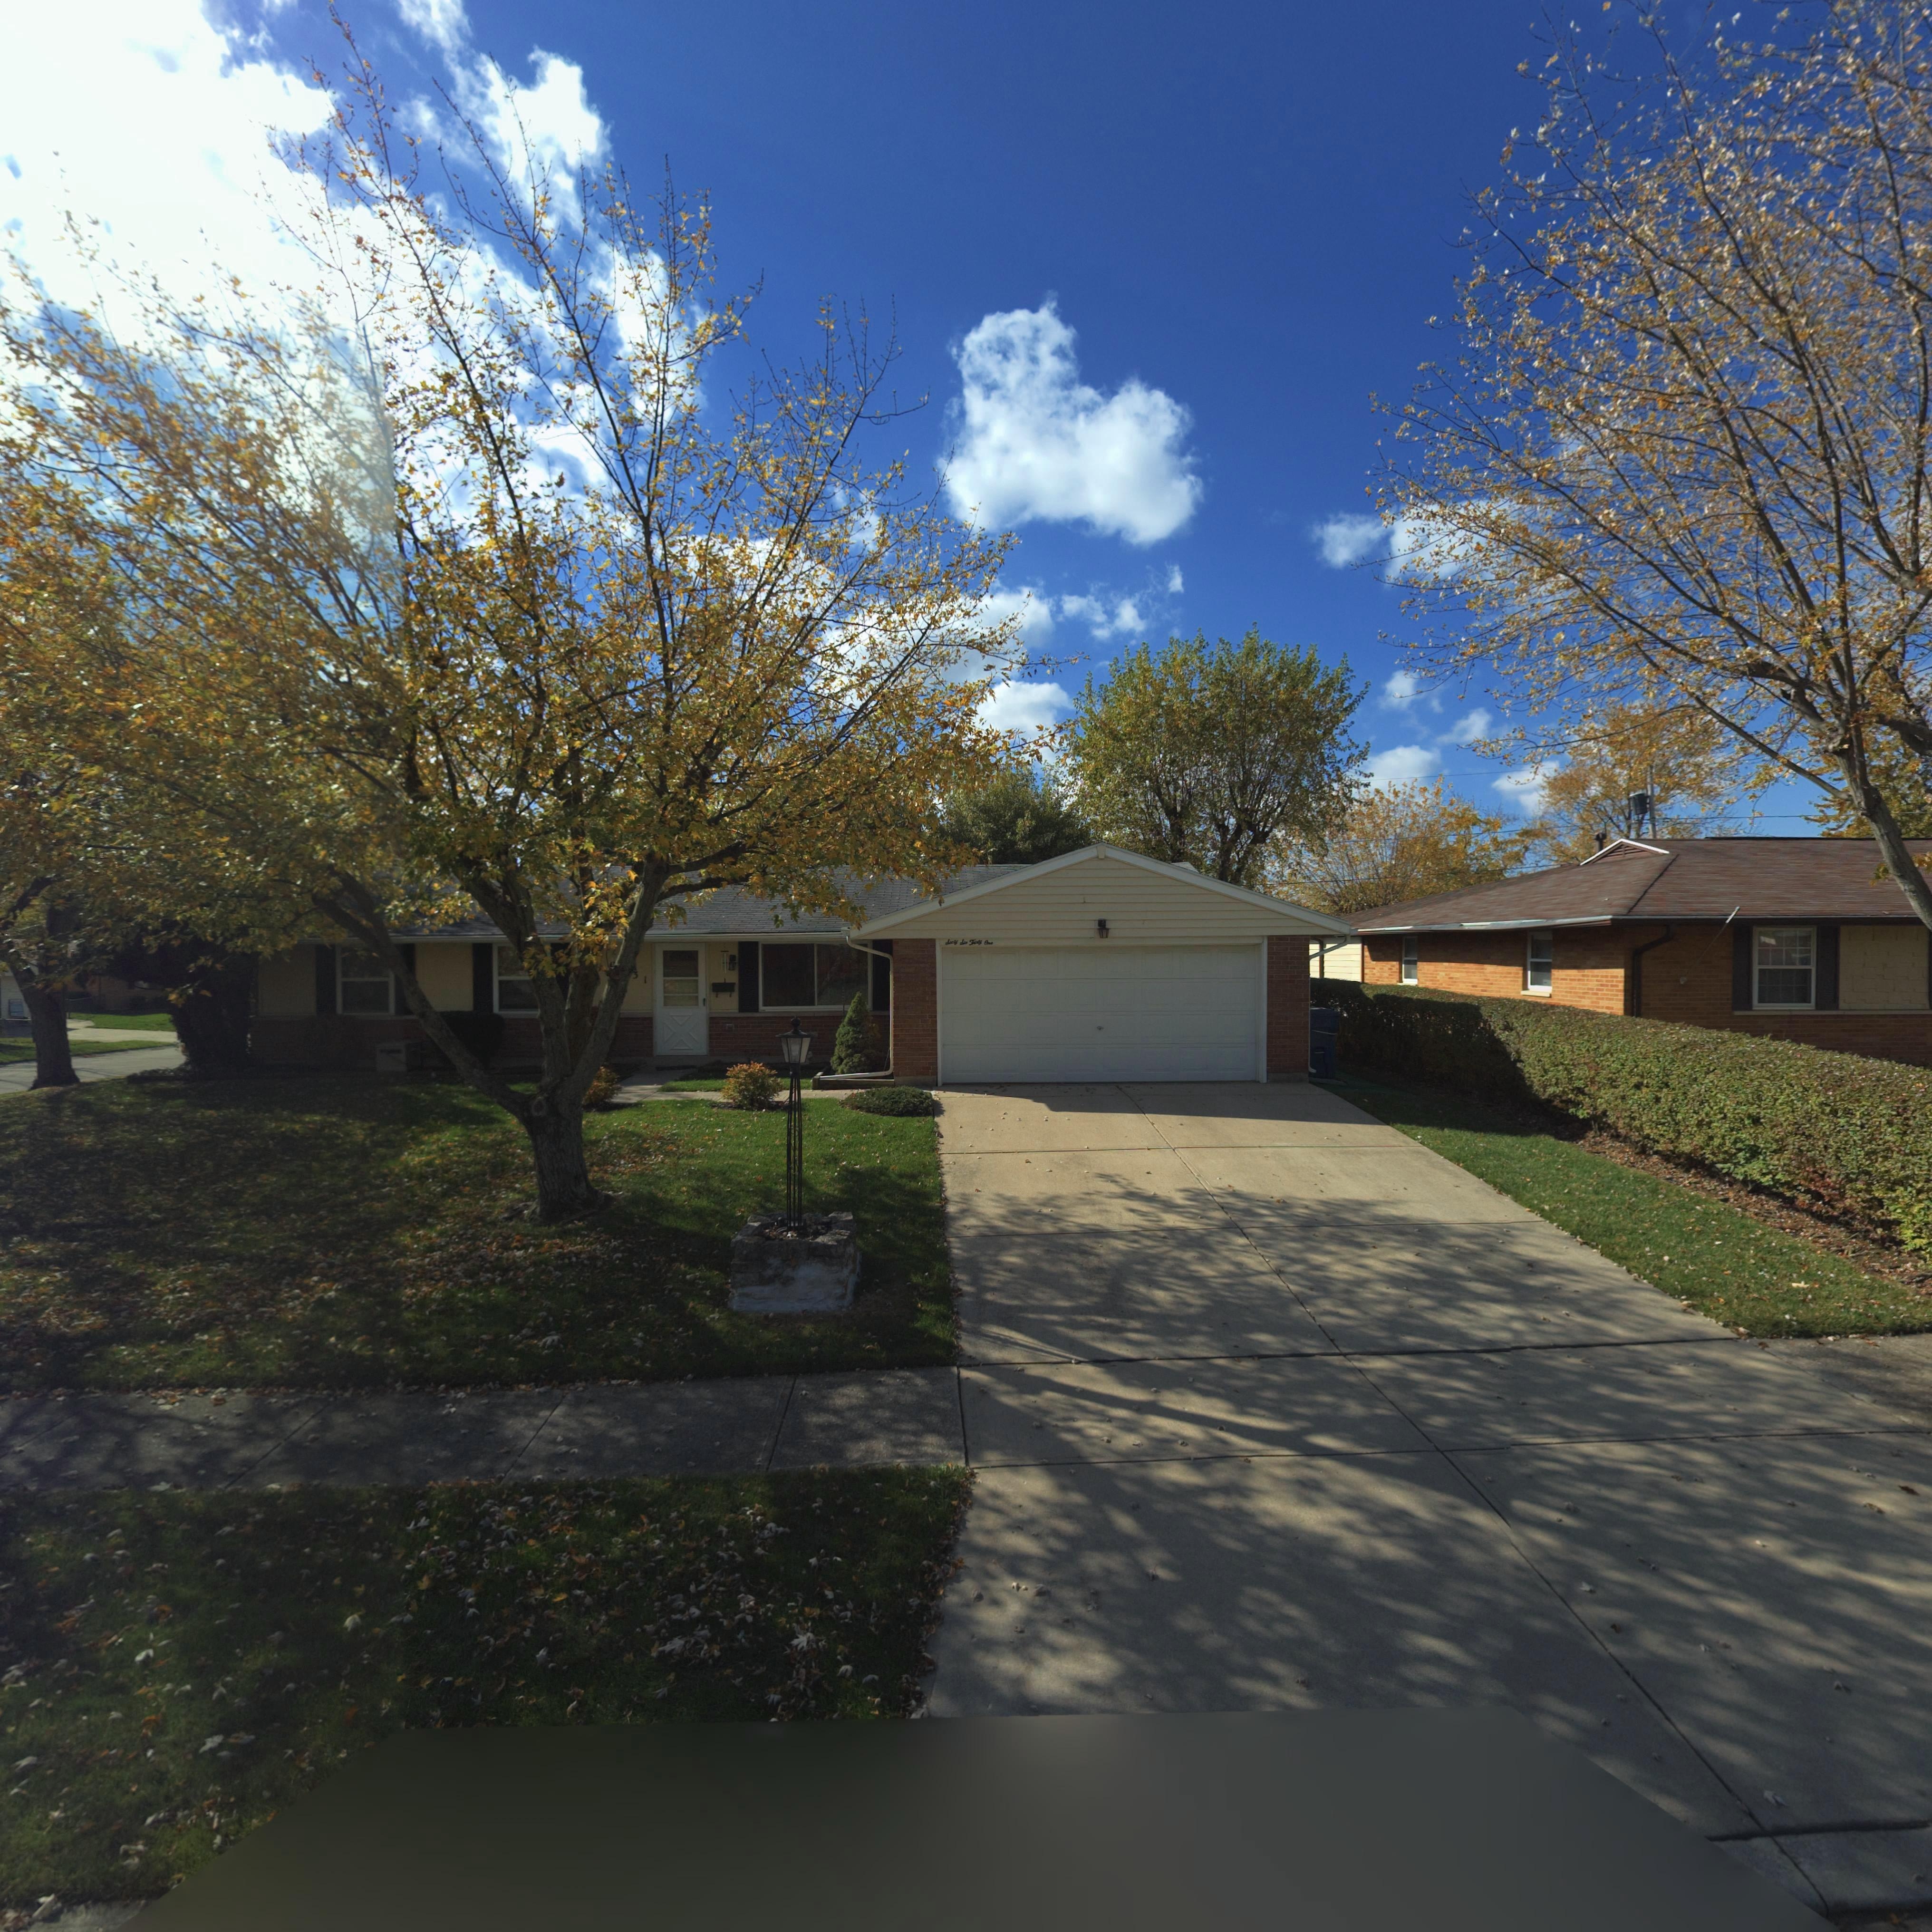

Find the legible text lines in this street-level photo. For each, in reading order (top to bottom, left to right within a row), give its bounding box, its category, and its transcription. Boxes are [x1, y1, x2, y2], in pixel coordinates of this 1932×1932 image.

[944, 938, 994, 946] StreetNumber: Sixty Six Thirty One
[632, 970, 647, 984] StreetNumber: 31